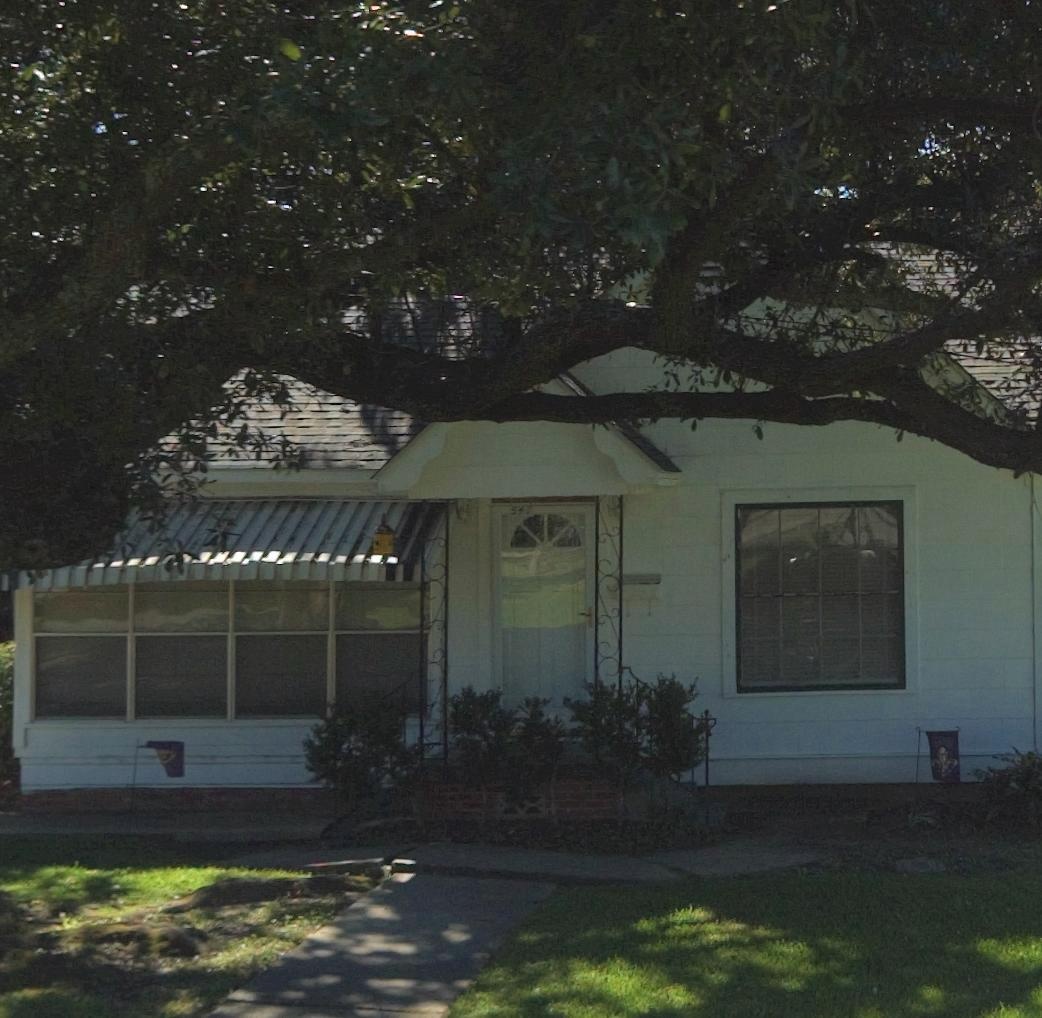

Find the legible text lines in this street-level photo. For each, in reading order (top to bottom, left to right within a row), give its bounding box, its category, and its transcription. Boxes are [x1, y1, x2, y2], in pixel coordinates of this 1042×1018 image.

[510, 505, 534, 516] StreetNumber: 547